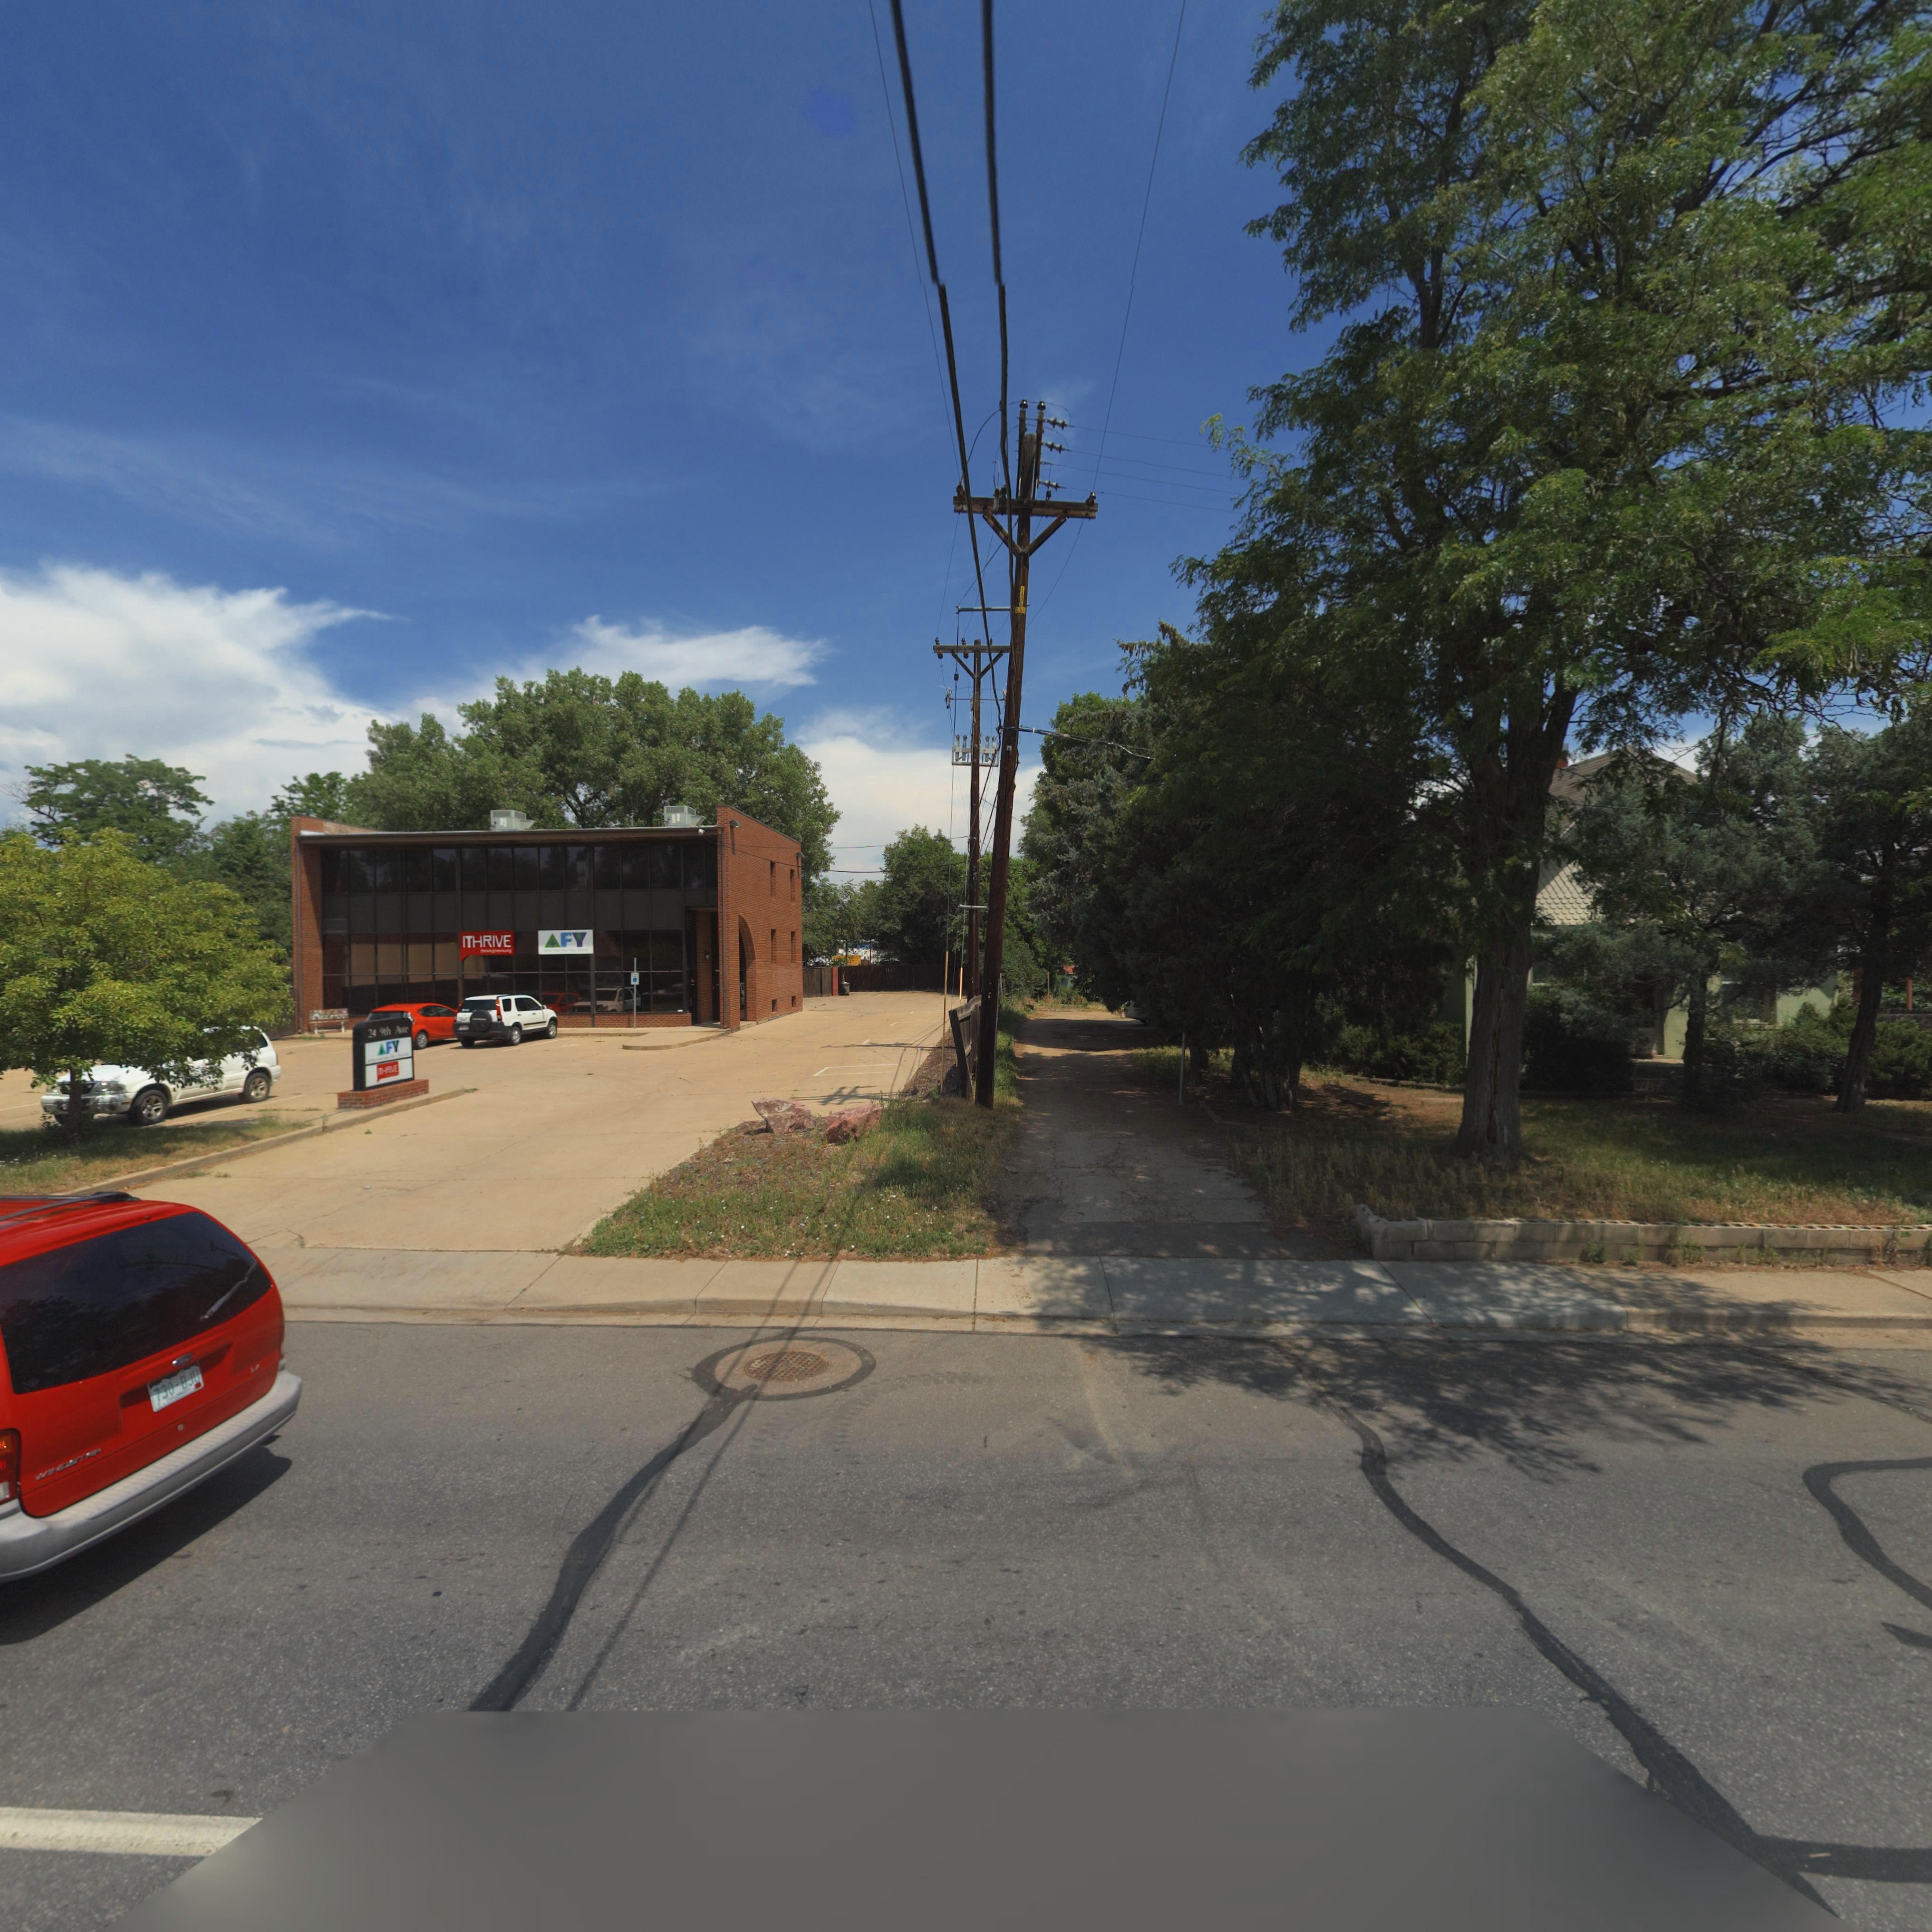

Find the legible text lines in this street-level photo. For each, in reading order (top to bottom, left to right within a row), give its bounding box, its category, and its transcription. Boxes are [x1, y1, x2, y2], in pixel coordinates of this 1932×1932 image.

[462, 935, 511, 948] BusinessName: ITHRIVE
[560, 932, 587, 947] BusinessName: FY
[367, 1028, 376, 1038] StreetNumber: 24
[379, 1025, 409, 1036] StreetName: 9th Ave
[386, 1040, 399, 1054] BusinessName: FY
[377, 1064, 398, 1076] BusinessName: ITHRIVE